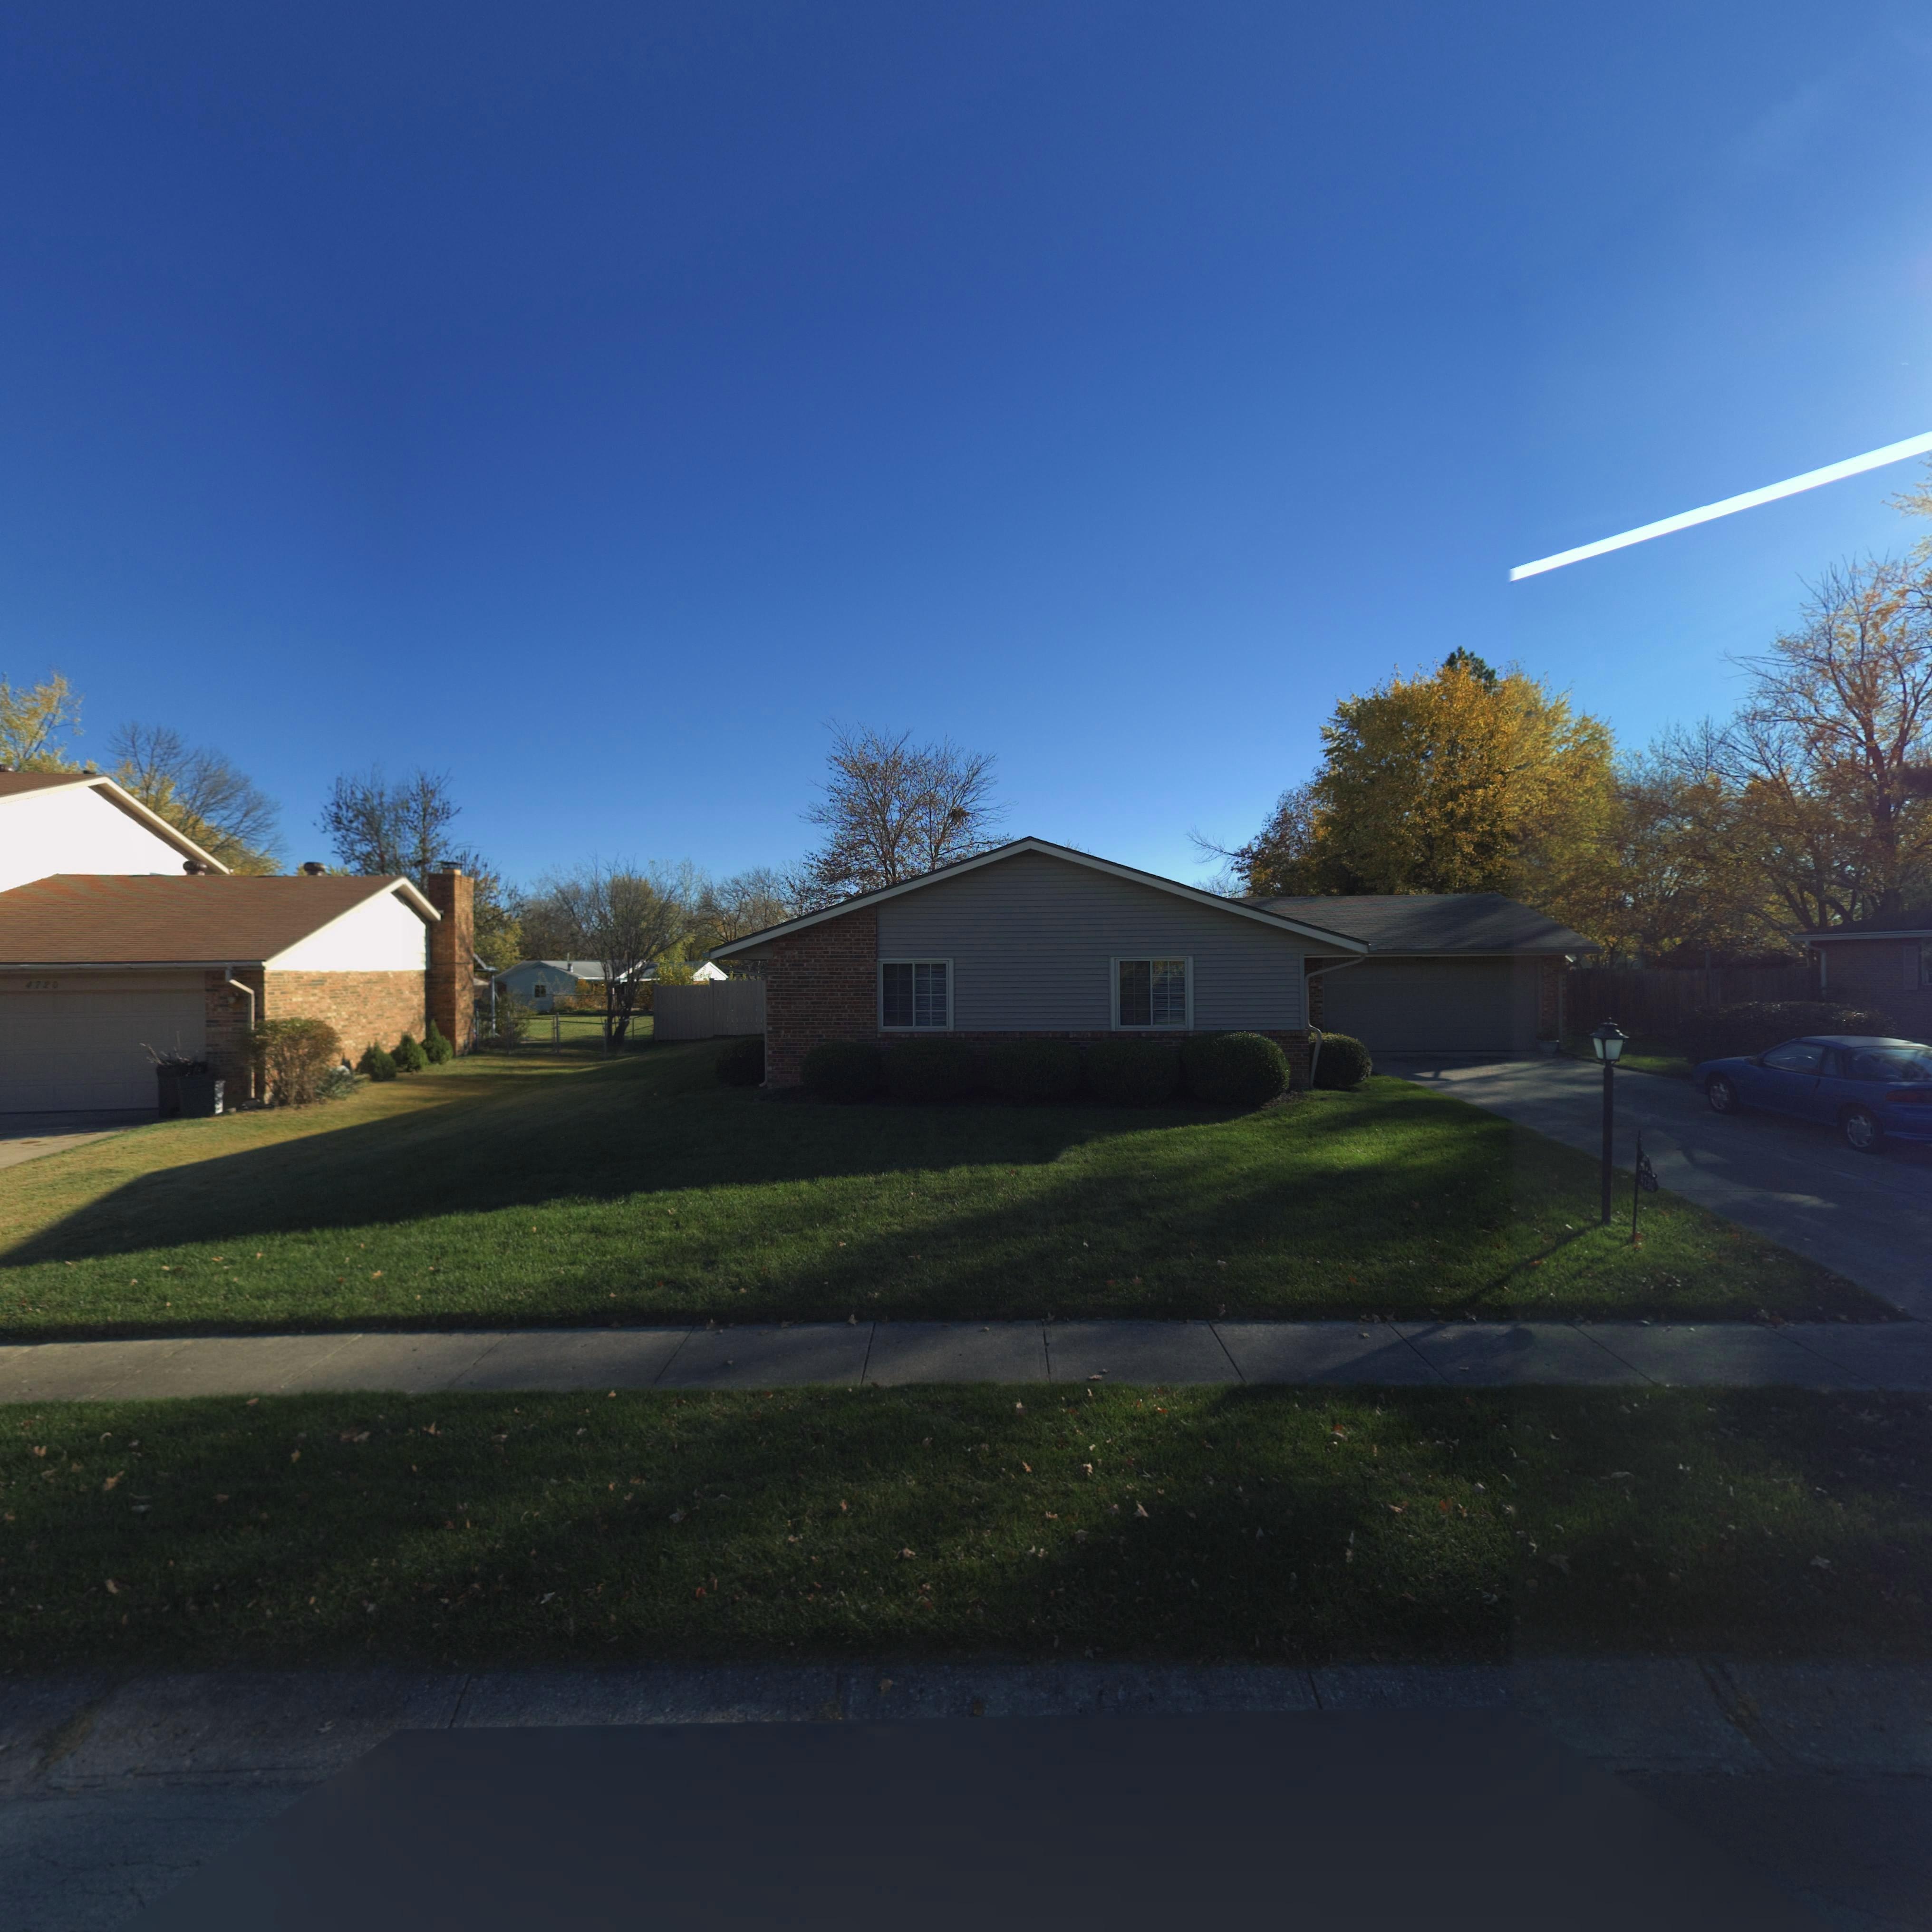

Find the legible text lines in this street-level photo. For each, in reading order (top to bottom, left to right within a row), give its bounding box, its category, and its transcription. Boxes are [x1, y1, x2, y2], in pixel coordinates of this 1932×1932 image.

[24, 979, 60, 990] StreetNumber: *720
[1639, 1171, 1656, 1194] StreetNumber: *7*0